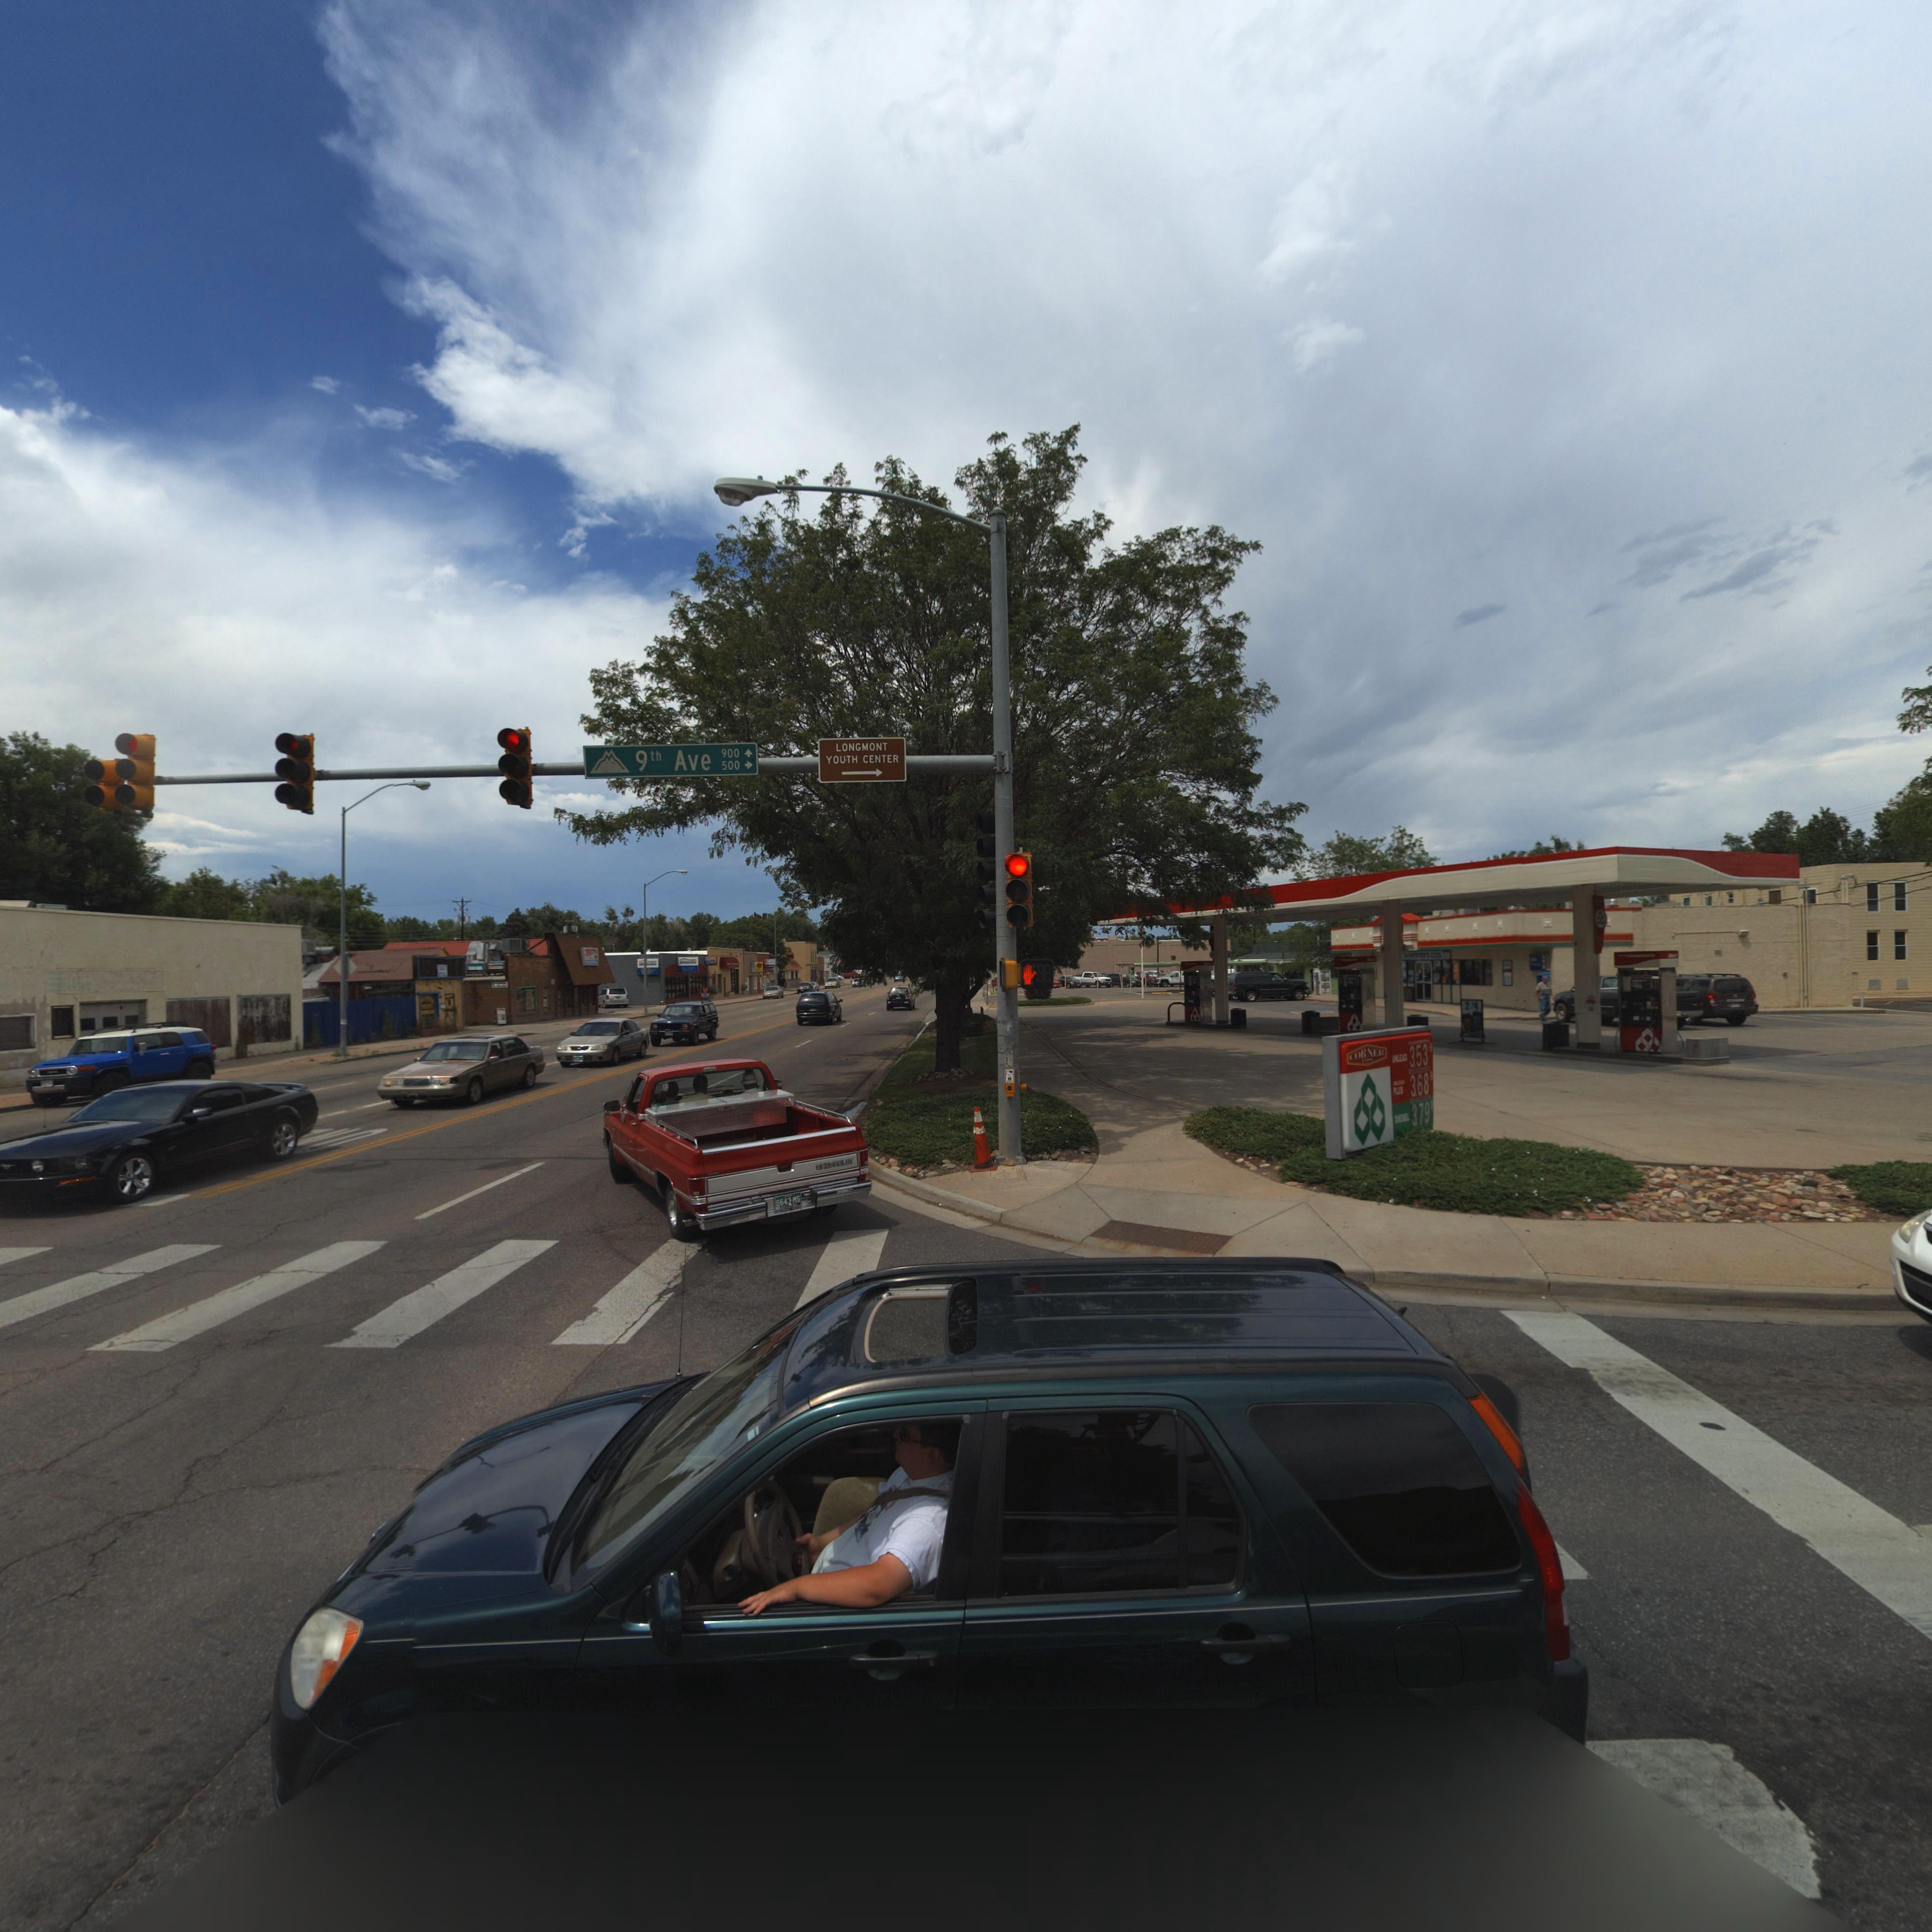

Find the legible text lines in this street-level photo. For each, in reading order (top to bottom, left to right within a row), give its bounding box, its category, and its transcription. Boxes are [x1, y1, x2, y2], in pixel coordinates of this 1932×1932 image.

[720, 748, 740, 758] StreetNumberRange: 900
[635, 749, 711, 772] StreetName: 9th Ave
[721, 760, 753, 770] StreetNumberRange: 500->
[1348, 1047, 1384, 1061] BusinessName: CORNER